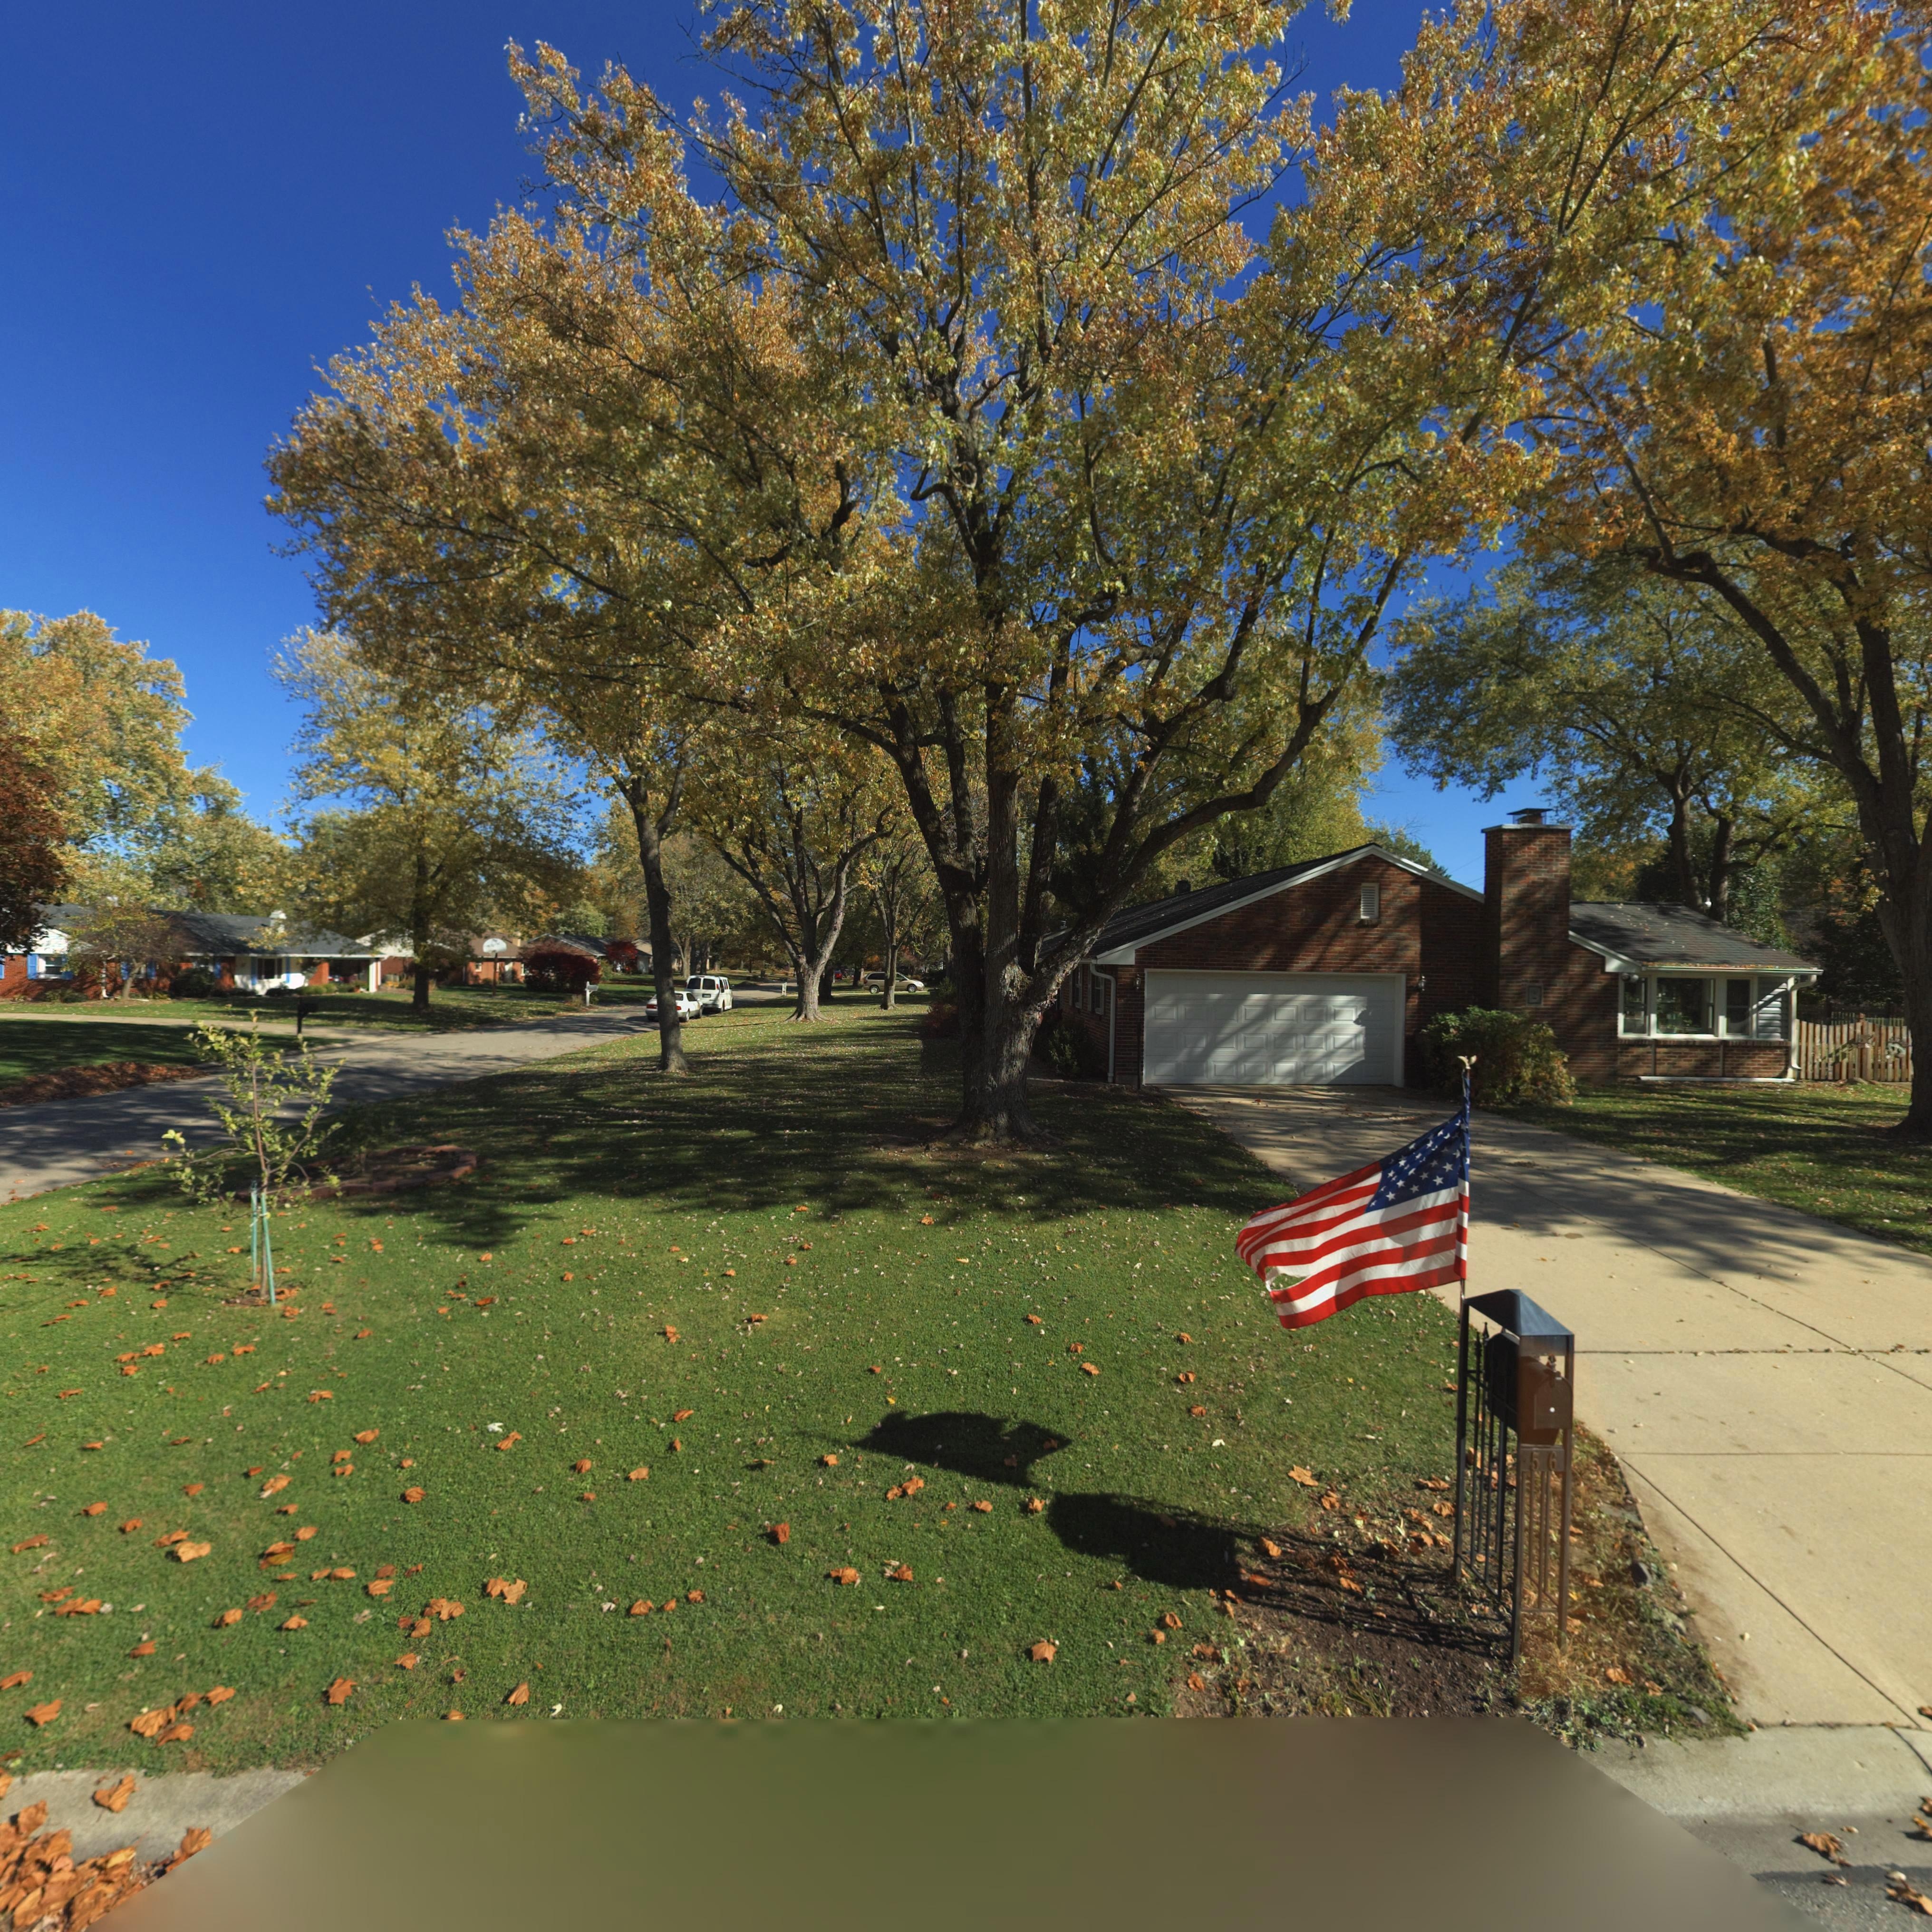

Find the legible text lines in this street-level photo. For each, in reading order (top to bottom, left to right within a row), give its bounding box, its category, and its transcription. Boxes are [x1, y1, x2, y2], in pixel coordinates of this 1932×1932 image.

[1530, 1450, 1558, 1471] StreetNumber: 56